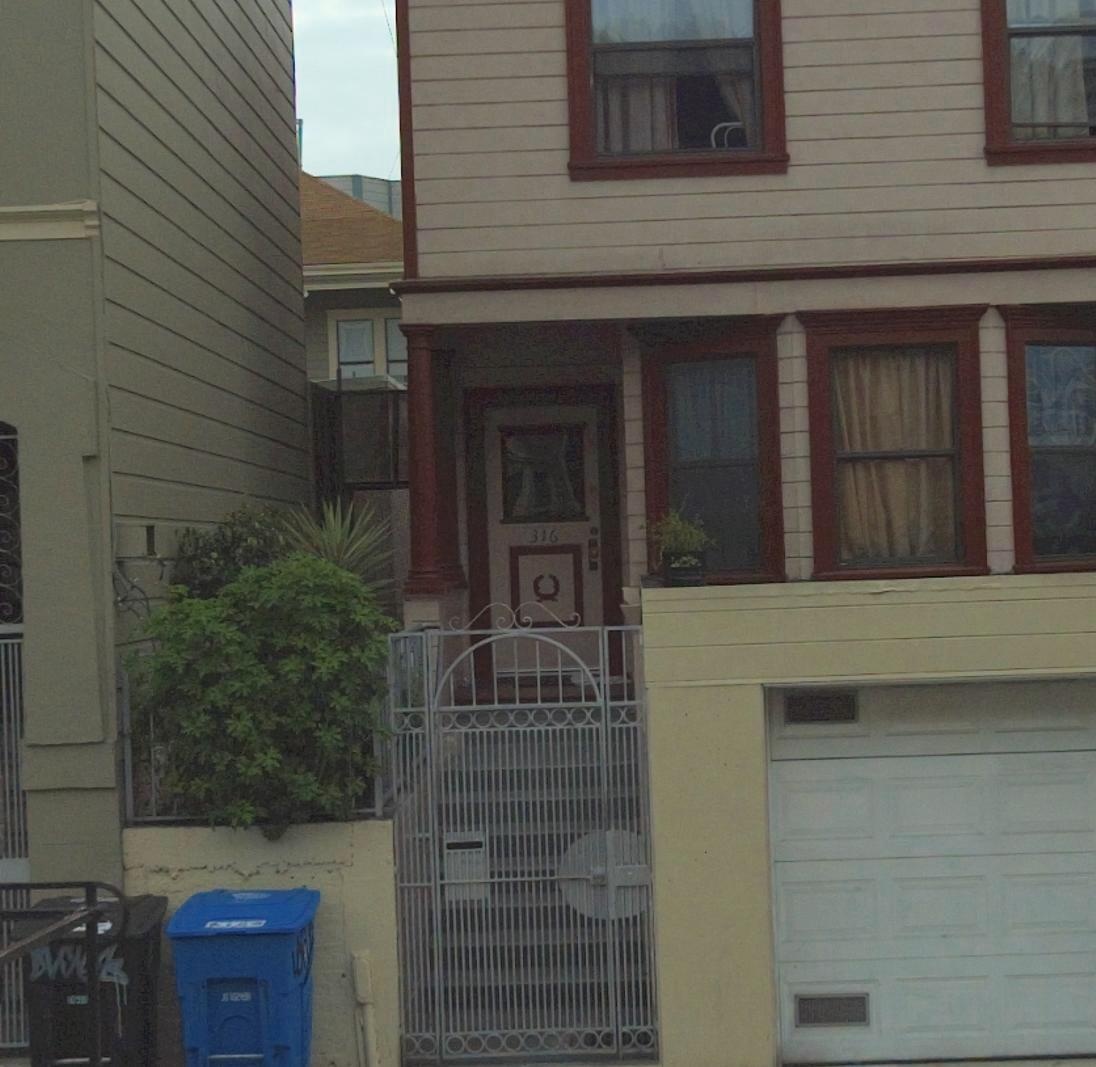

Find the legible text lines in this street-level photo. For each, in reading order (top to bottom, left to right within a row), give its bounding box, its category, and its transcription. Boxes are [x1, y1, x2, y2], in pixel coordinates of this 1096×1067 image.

[529, 528, 559, 544] StreetNumber: 316